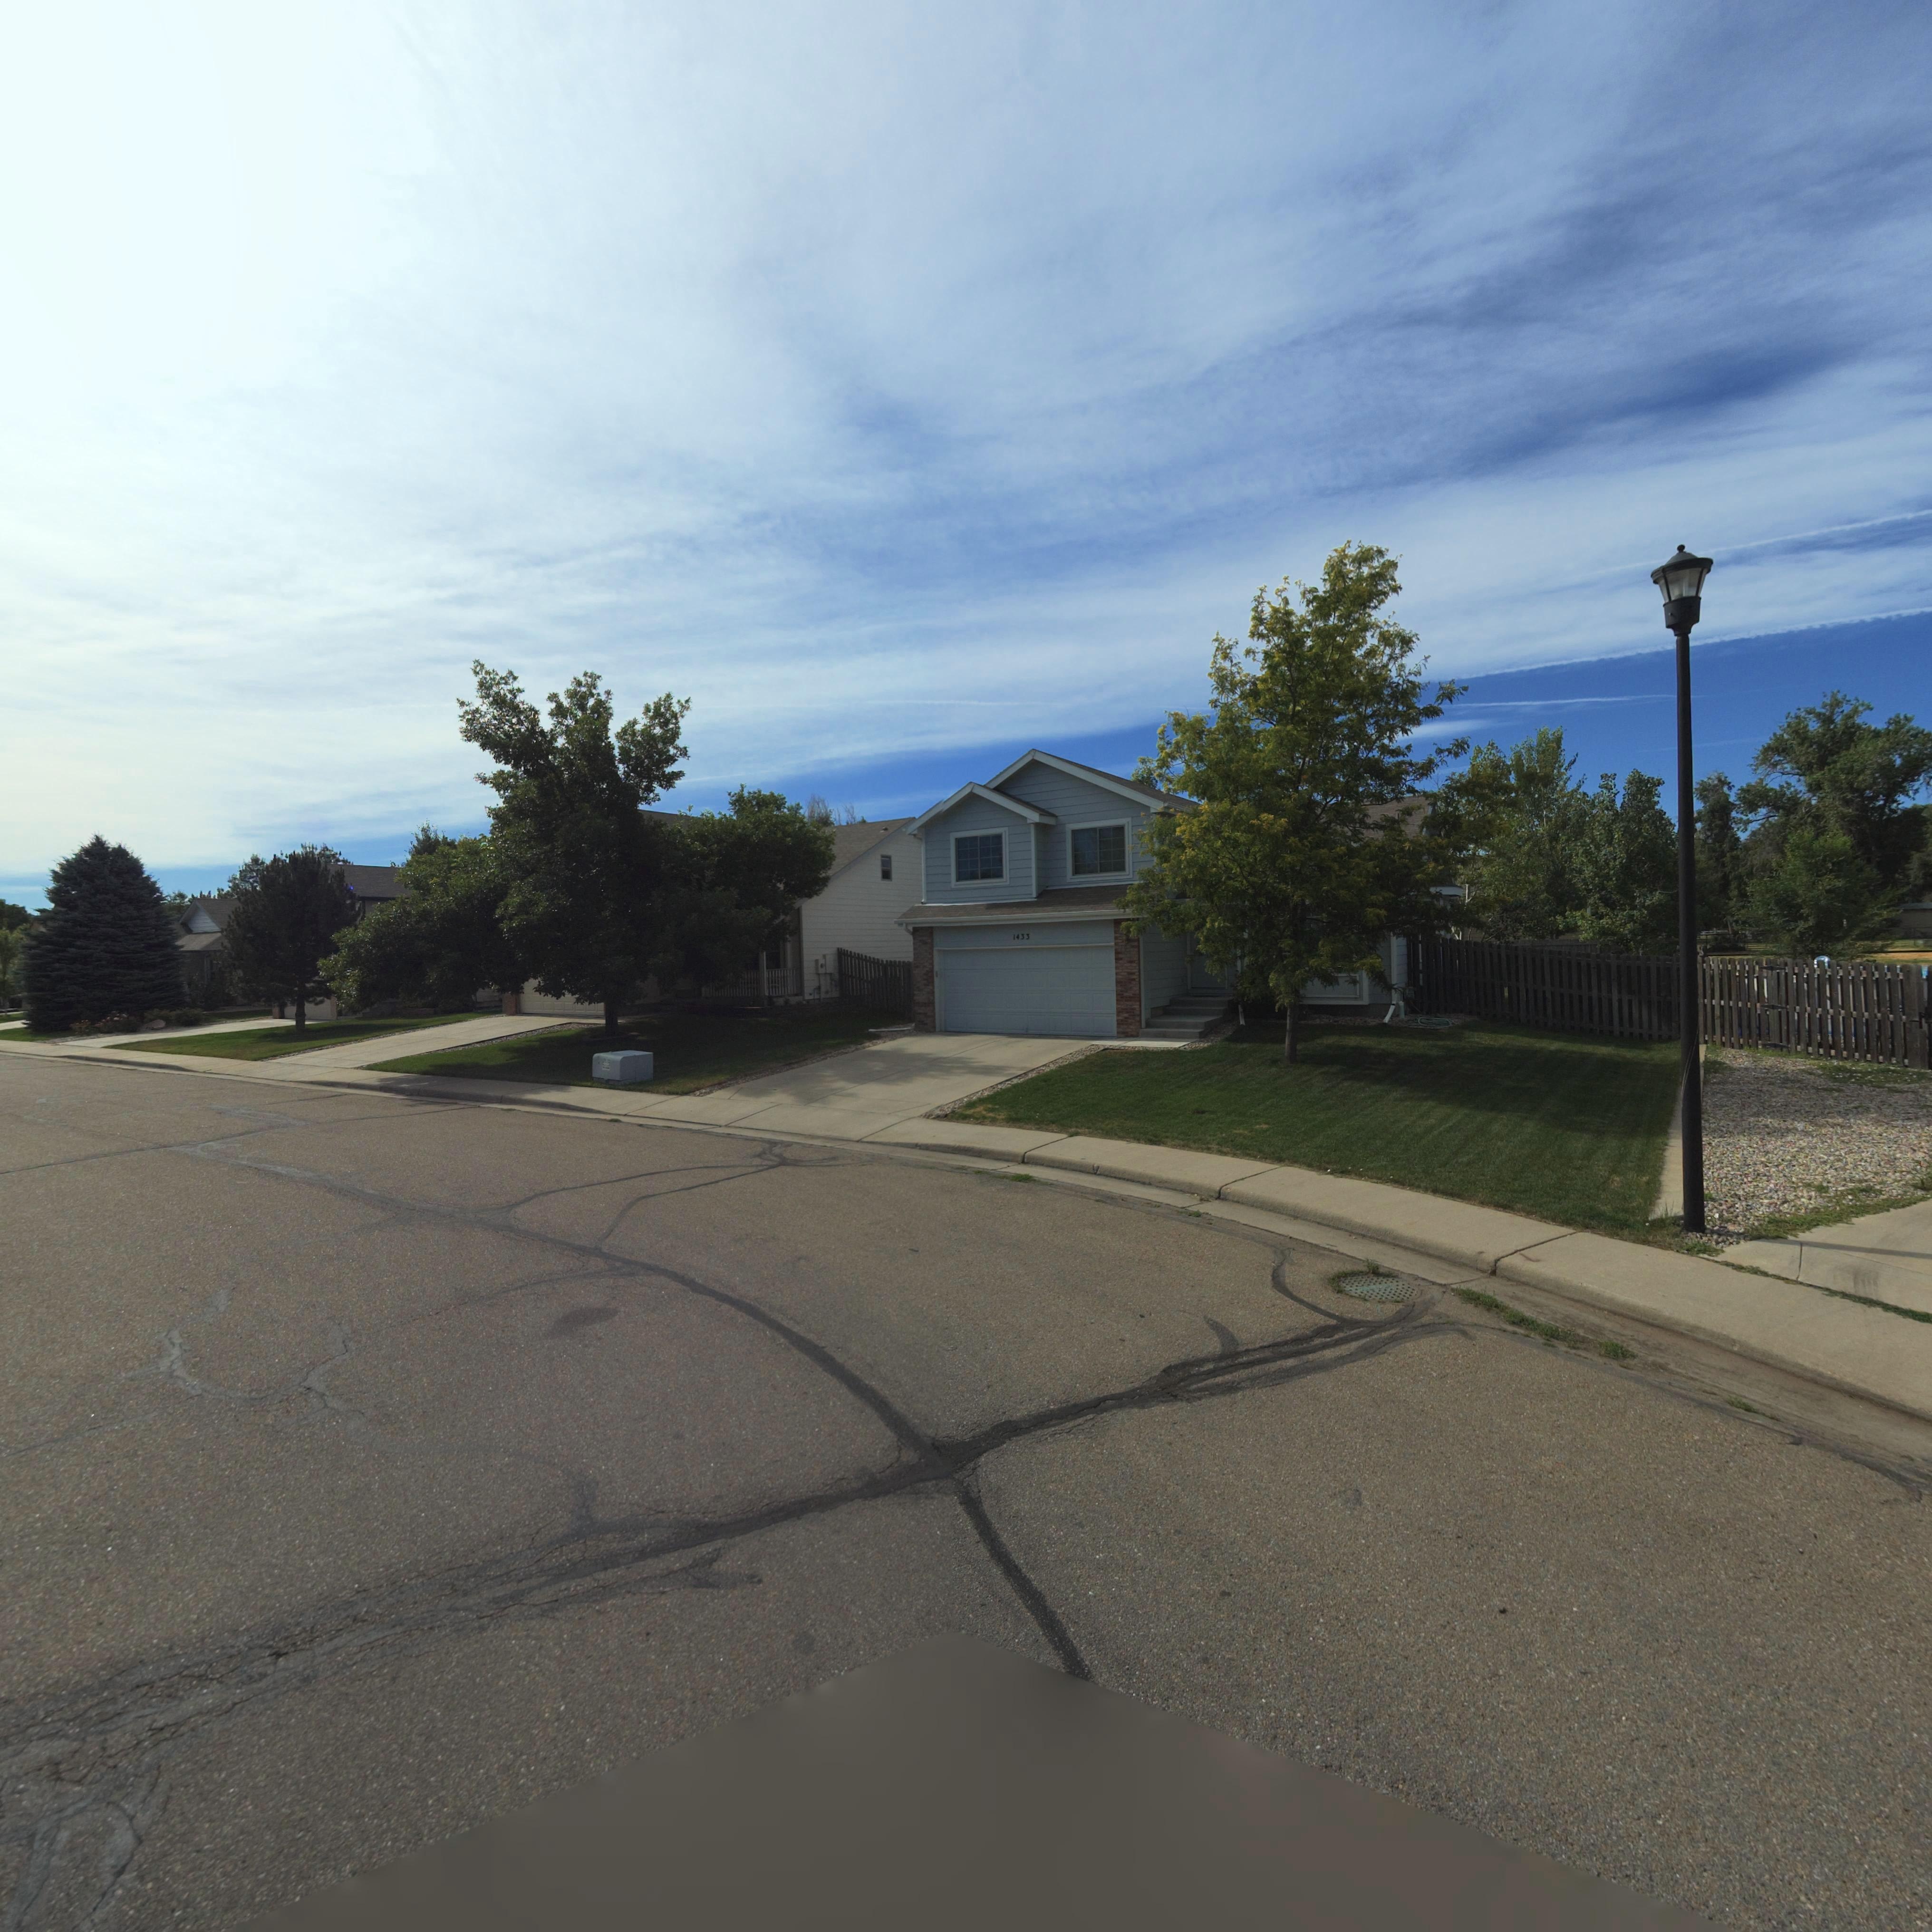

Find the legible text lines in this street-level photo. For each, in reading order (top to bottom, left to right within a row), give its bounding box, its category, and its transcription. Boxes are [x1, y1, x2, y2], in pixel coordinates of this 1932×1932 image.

[1013, 933, 1029, 940] StreetNumber: 1433